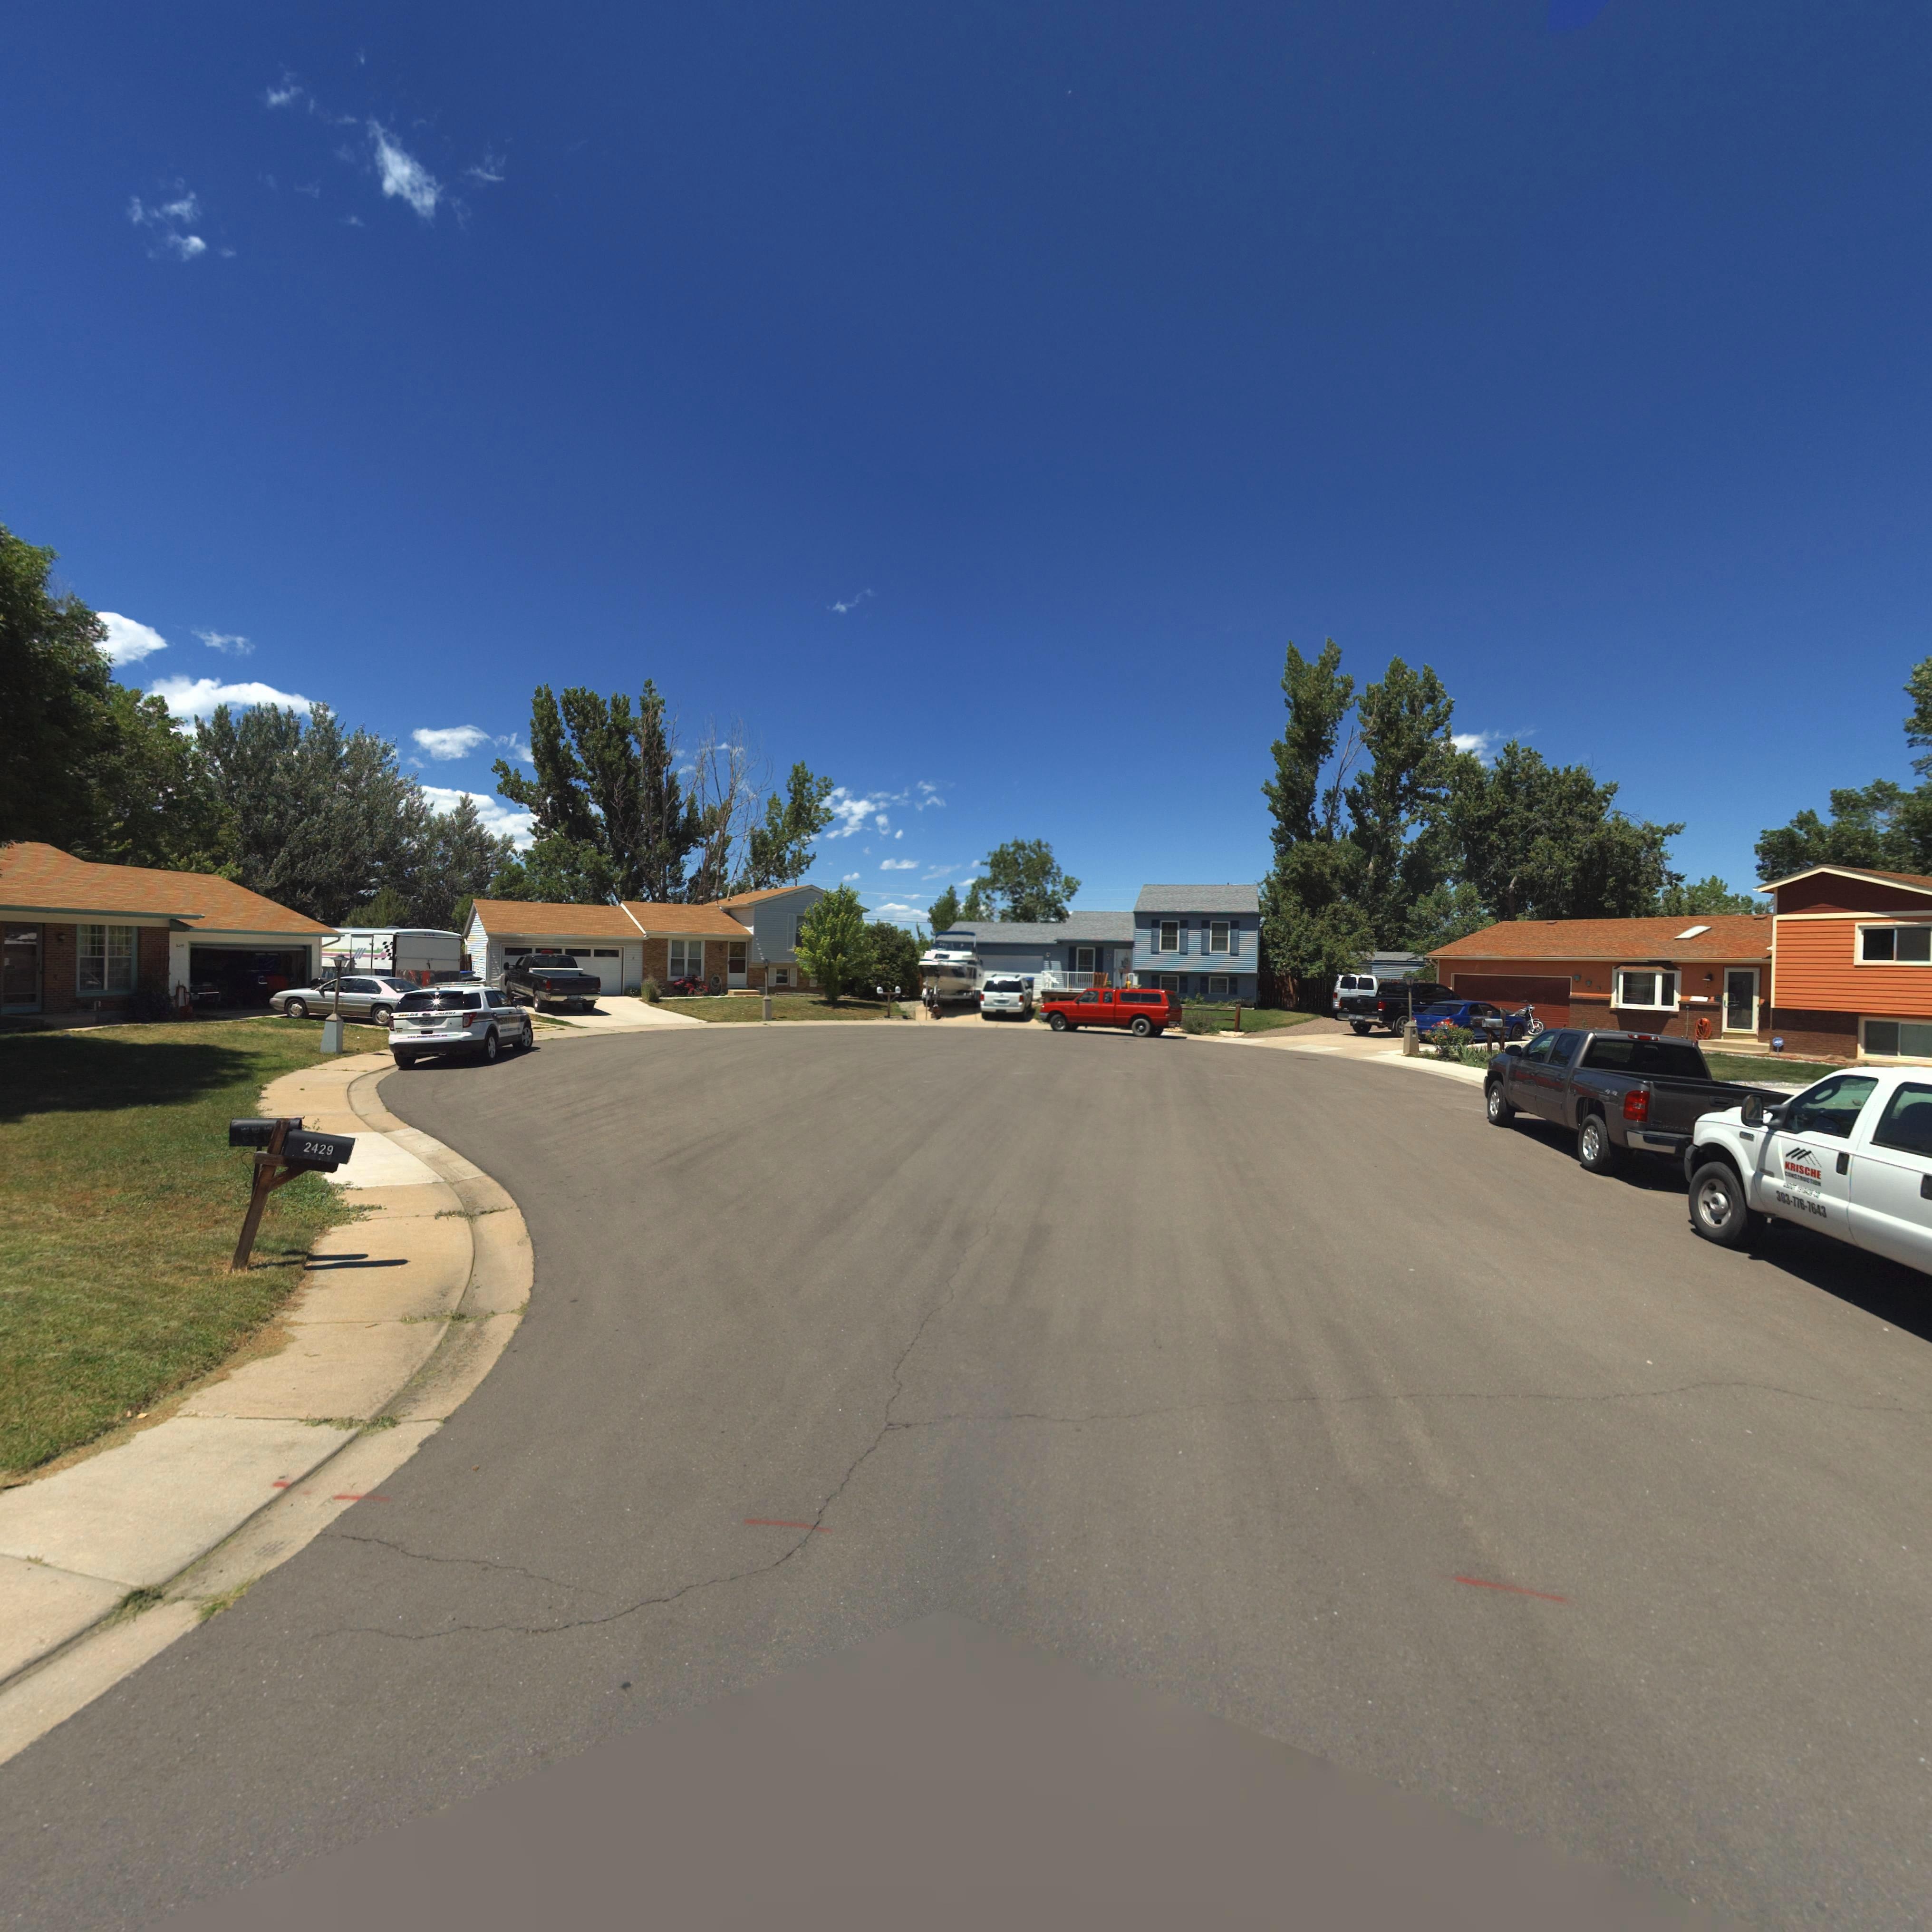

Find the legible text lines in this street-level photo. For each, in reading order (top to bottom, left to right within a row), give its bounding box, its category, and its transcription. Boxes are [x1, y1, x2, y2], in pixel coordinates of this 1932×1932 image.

[175, 944, 184, 948] StreetNumber: 34**
[303, 1141, 334, 1156] StreetNumber: 2429